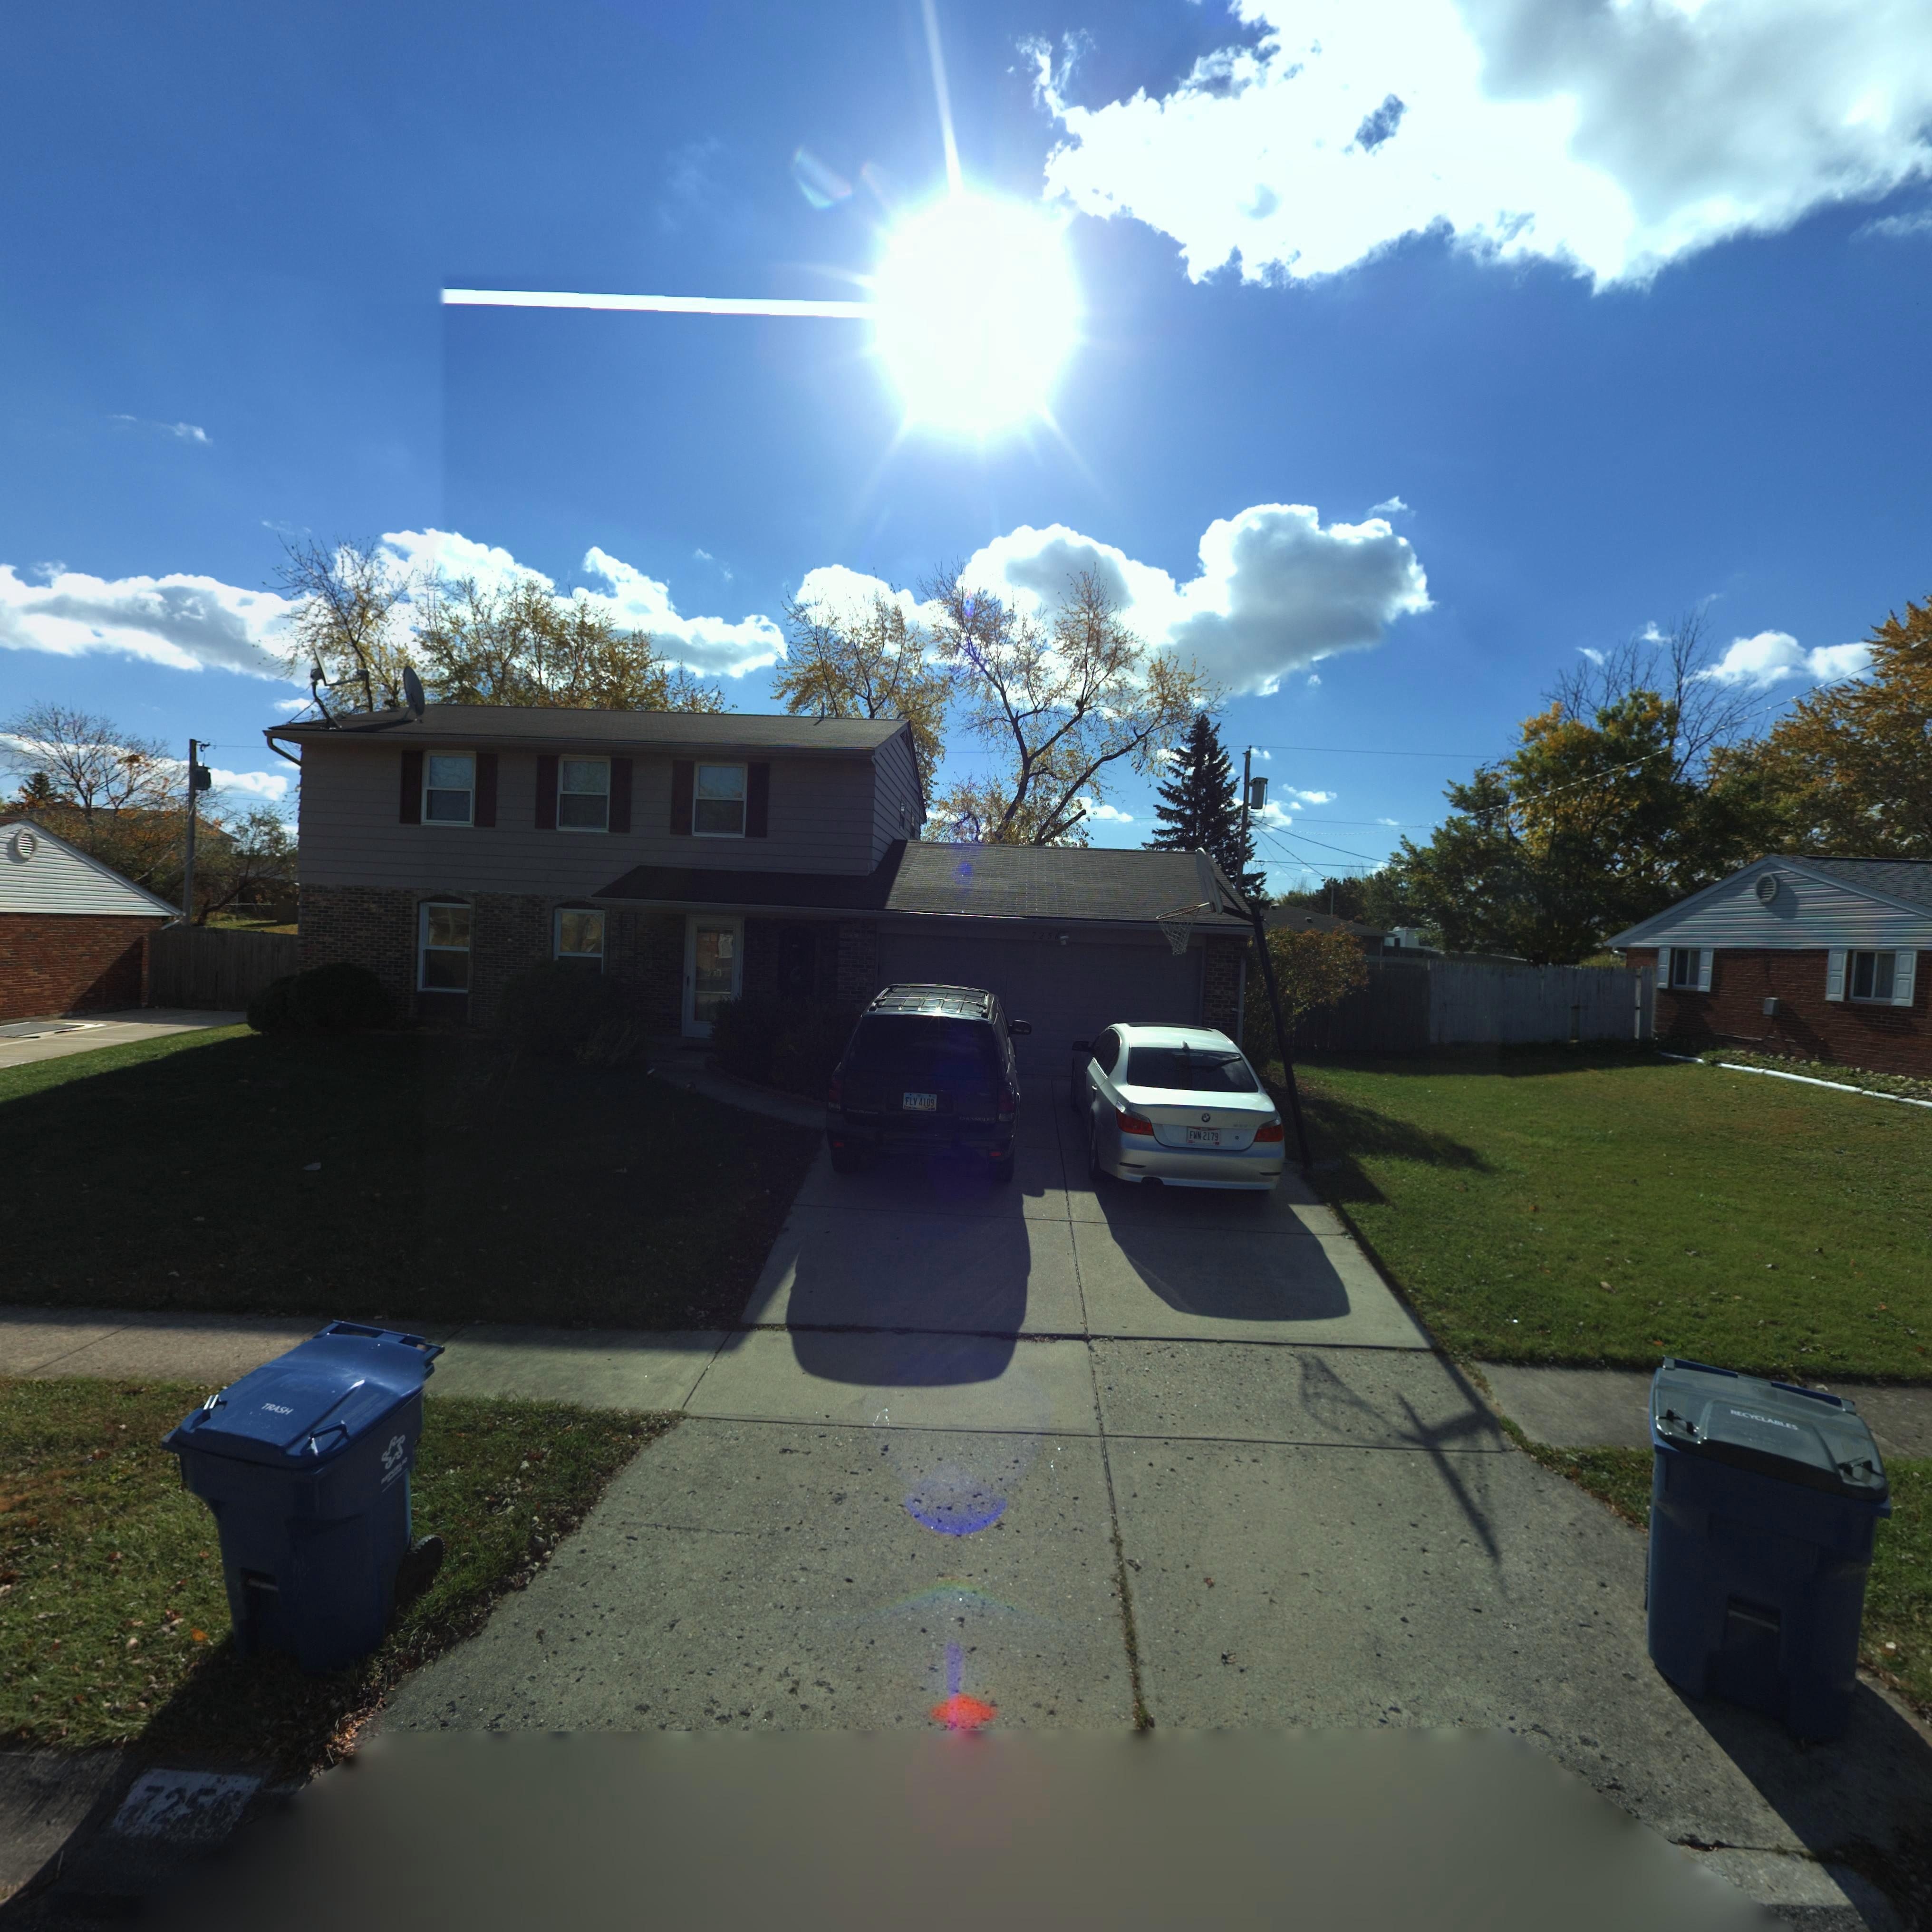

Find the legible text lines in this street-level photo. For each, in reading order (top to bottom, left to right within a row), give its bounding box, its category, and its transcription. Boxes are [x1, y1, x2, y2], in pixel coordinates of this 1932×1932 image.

[1031, 930, 1060, 941] StreetNumber: 7256